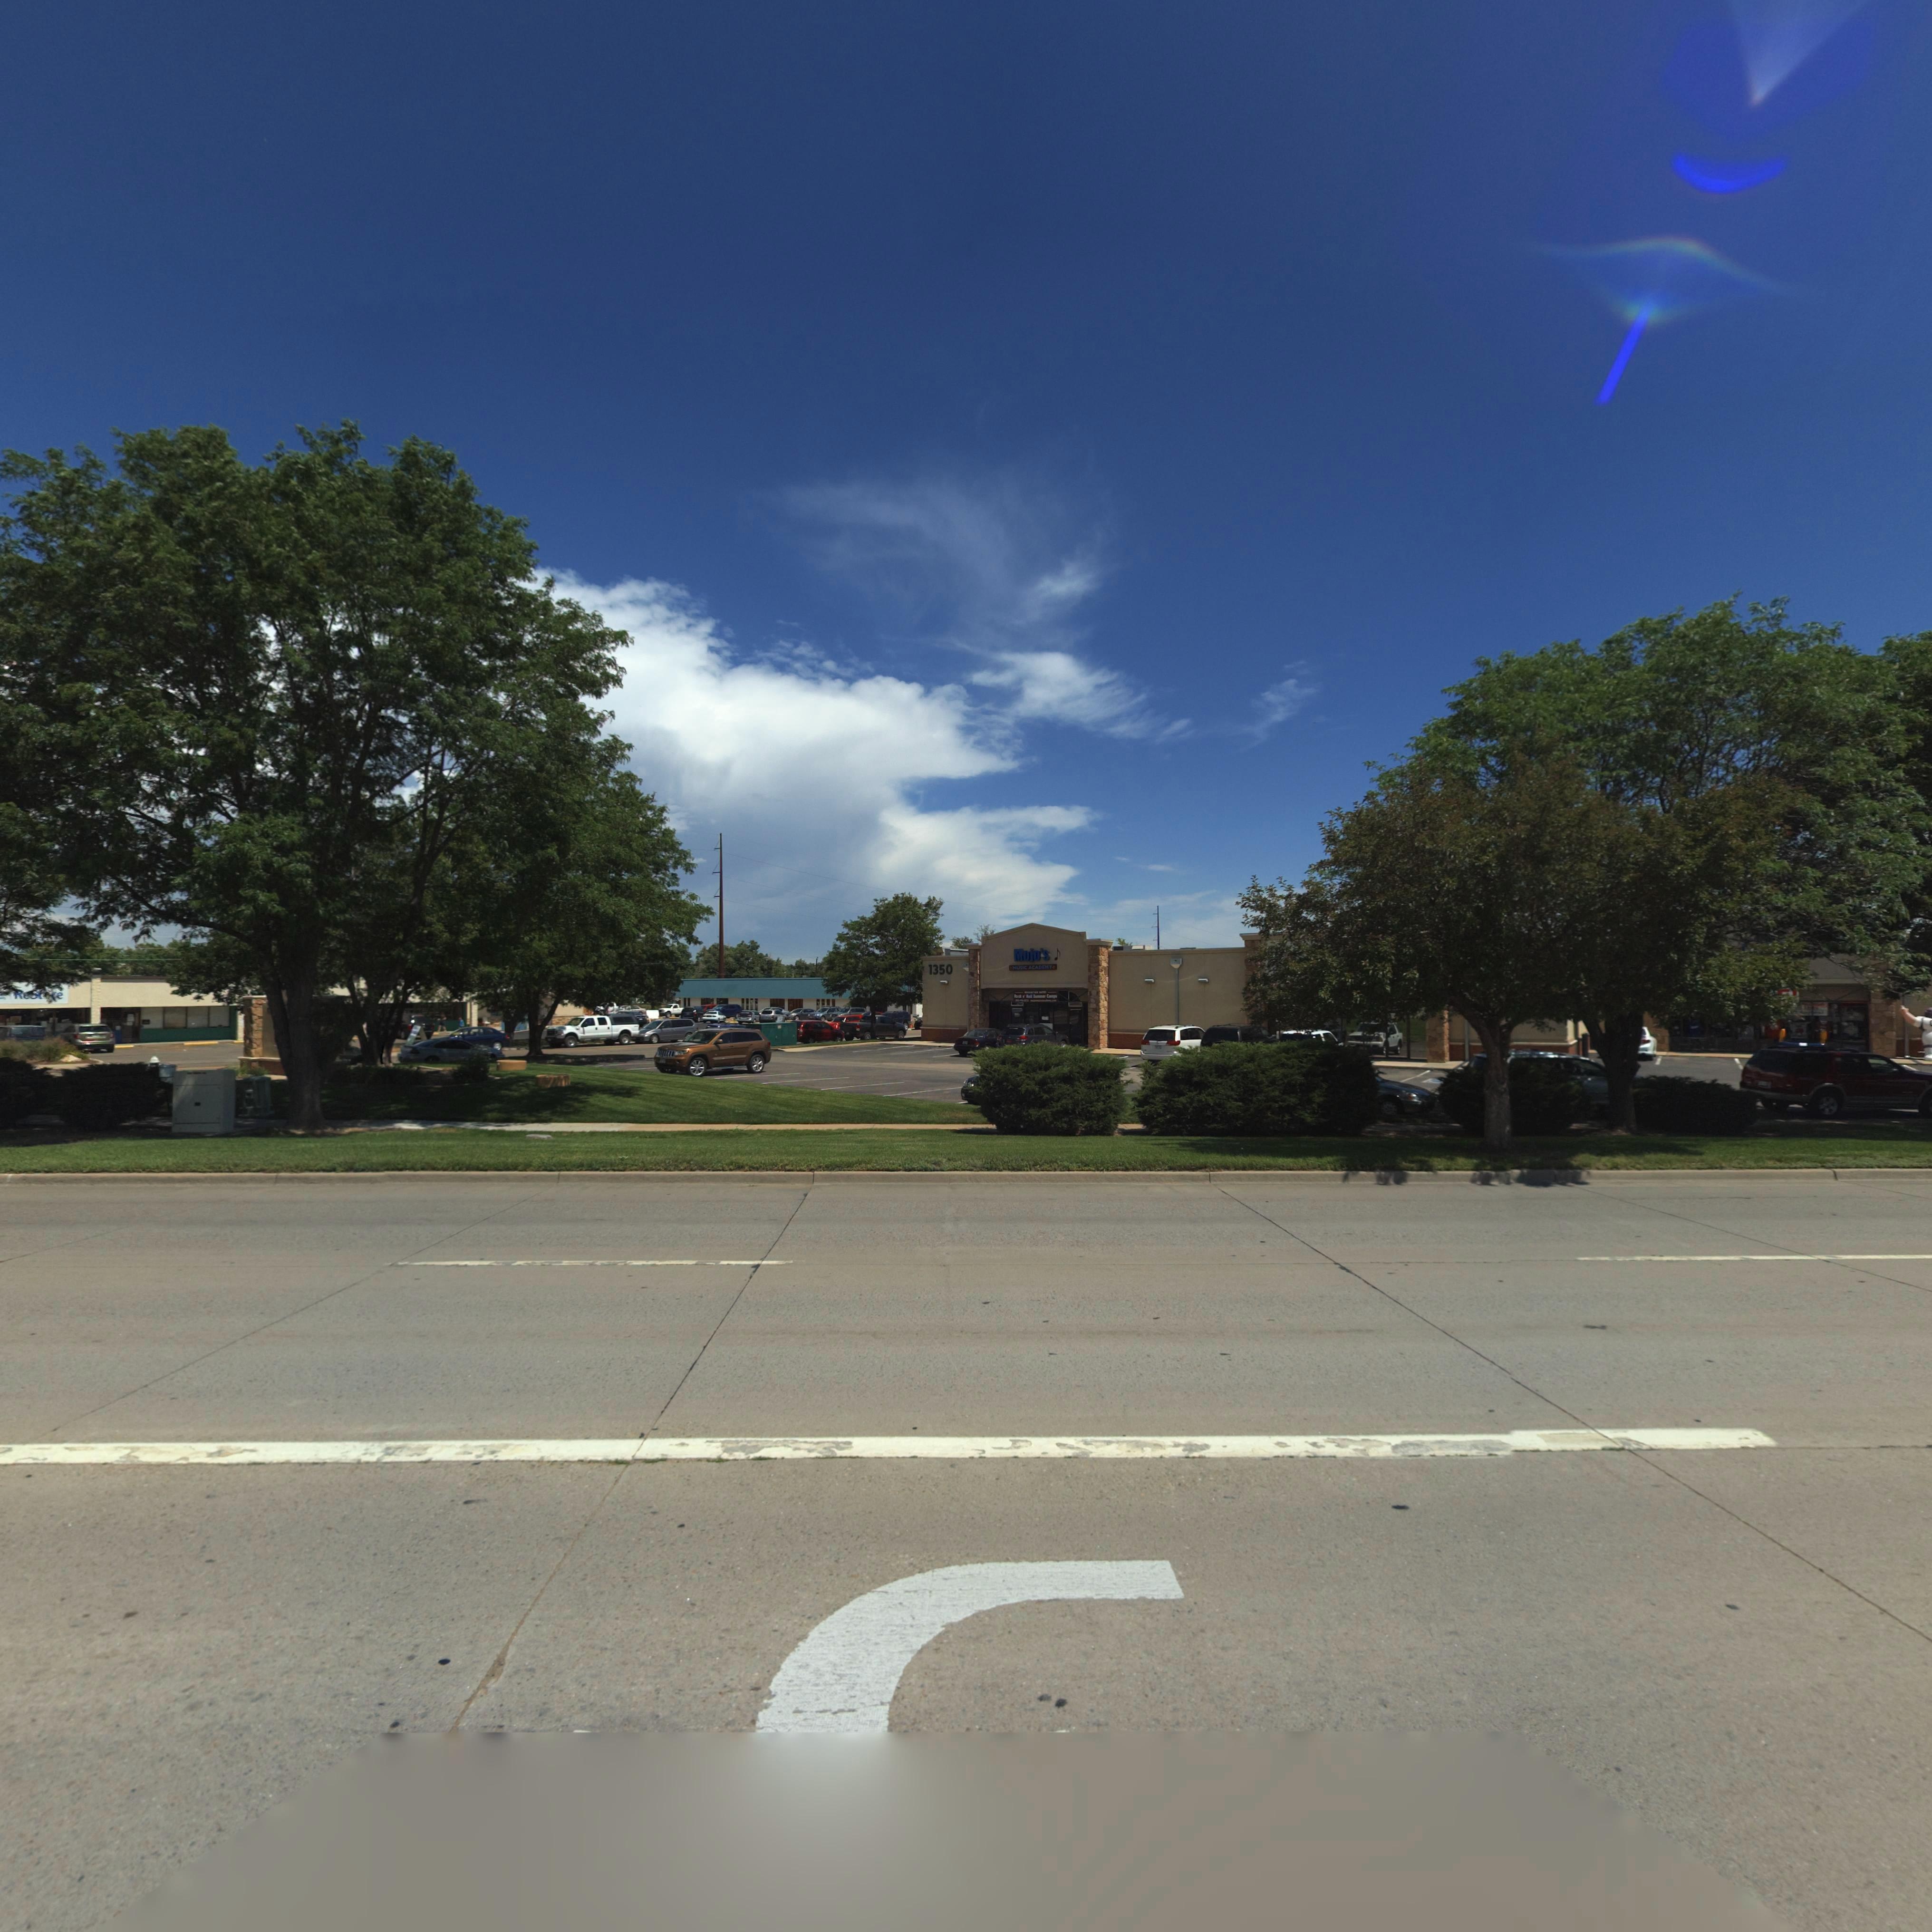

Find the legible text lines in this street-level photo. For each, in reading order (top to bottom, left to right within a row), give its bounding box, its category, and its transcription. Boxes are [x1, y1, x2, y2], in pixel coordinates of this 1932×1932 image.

[1014, 947, 1050, 963] BusinessName: Mojo's
[928, 964, 953, 975] StreetNumber: 1350
[1012, 965, 1053, 970] BusinessName: MUSIC ACADEMY